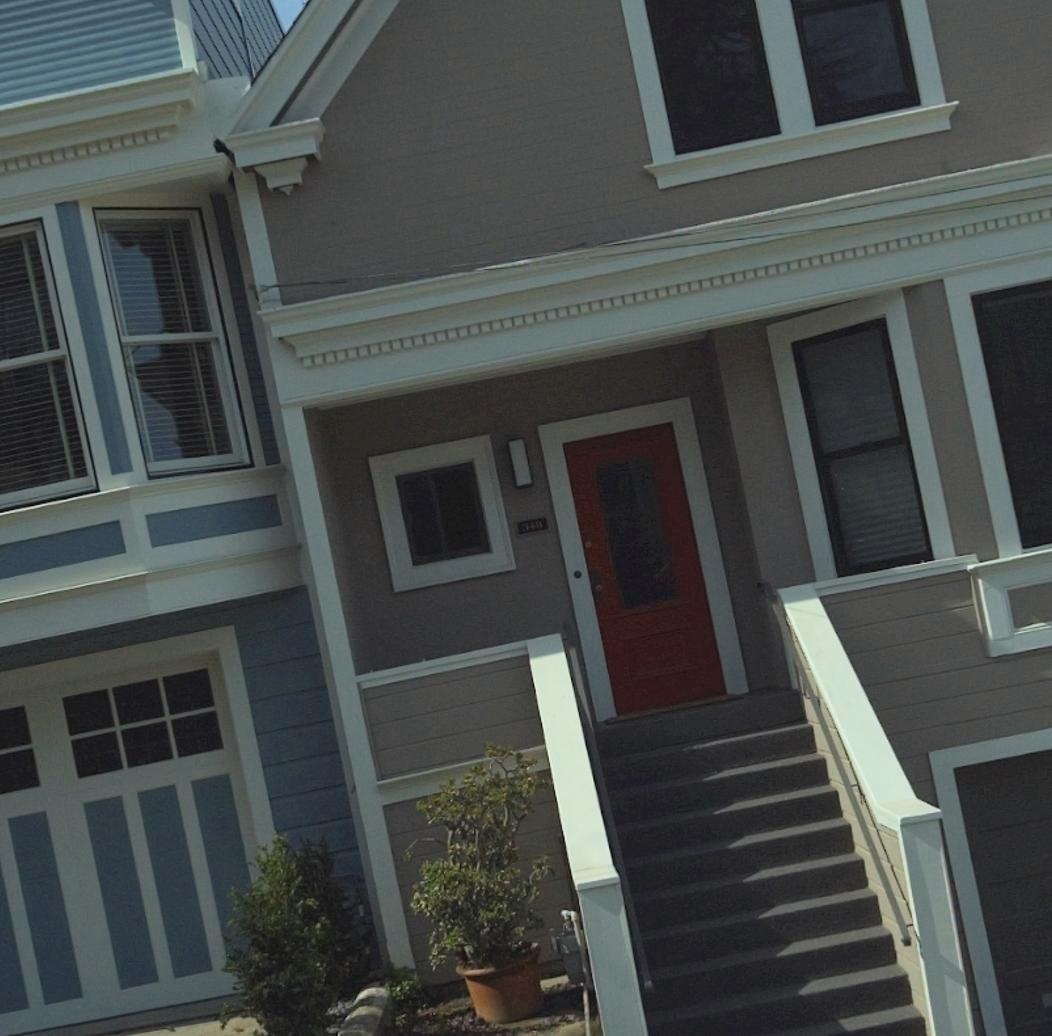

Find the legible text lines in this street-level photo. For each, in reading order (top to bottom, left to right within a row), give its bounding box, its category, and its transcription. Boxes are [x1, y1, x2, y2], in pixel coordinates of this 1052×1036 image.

[520, 519, 545, 533] StreetNumber: 348